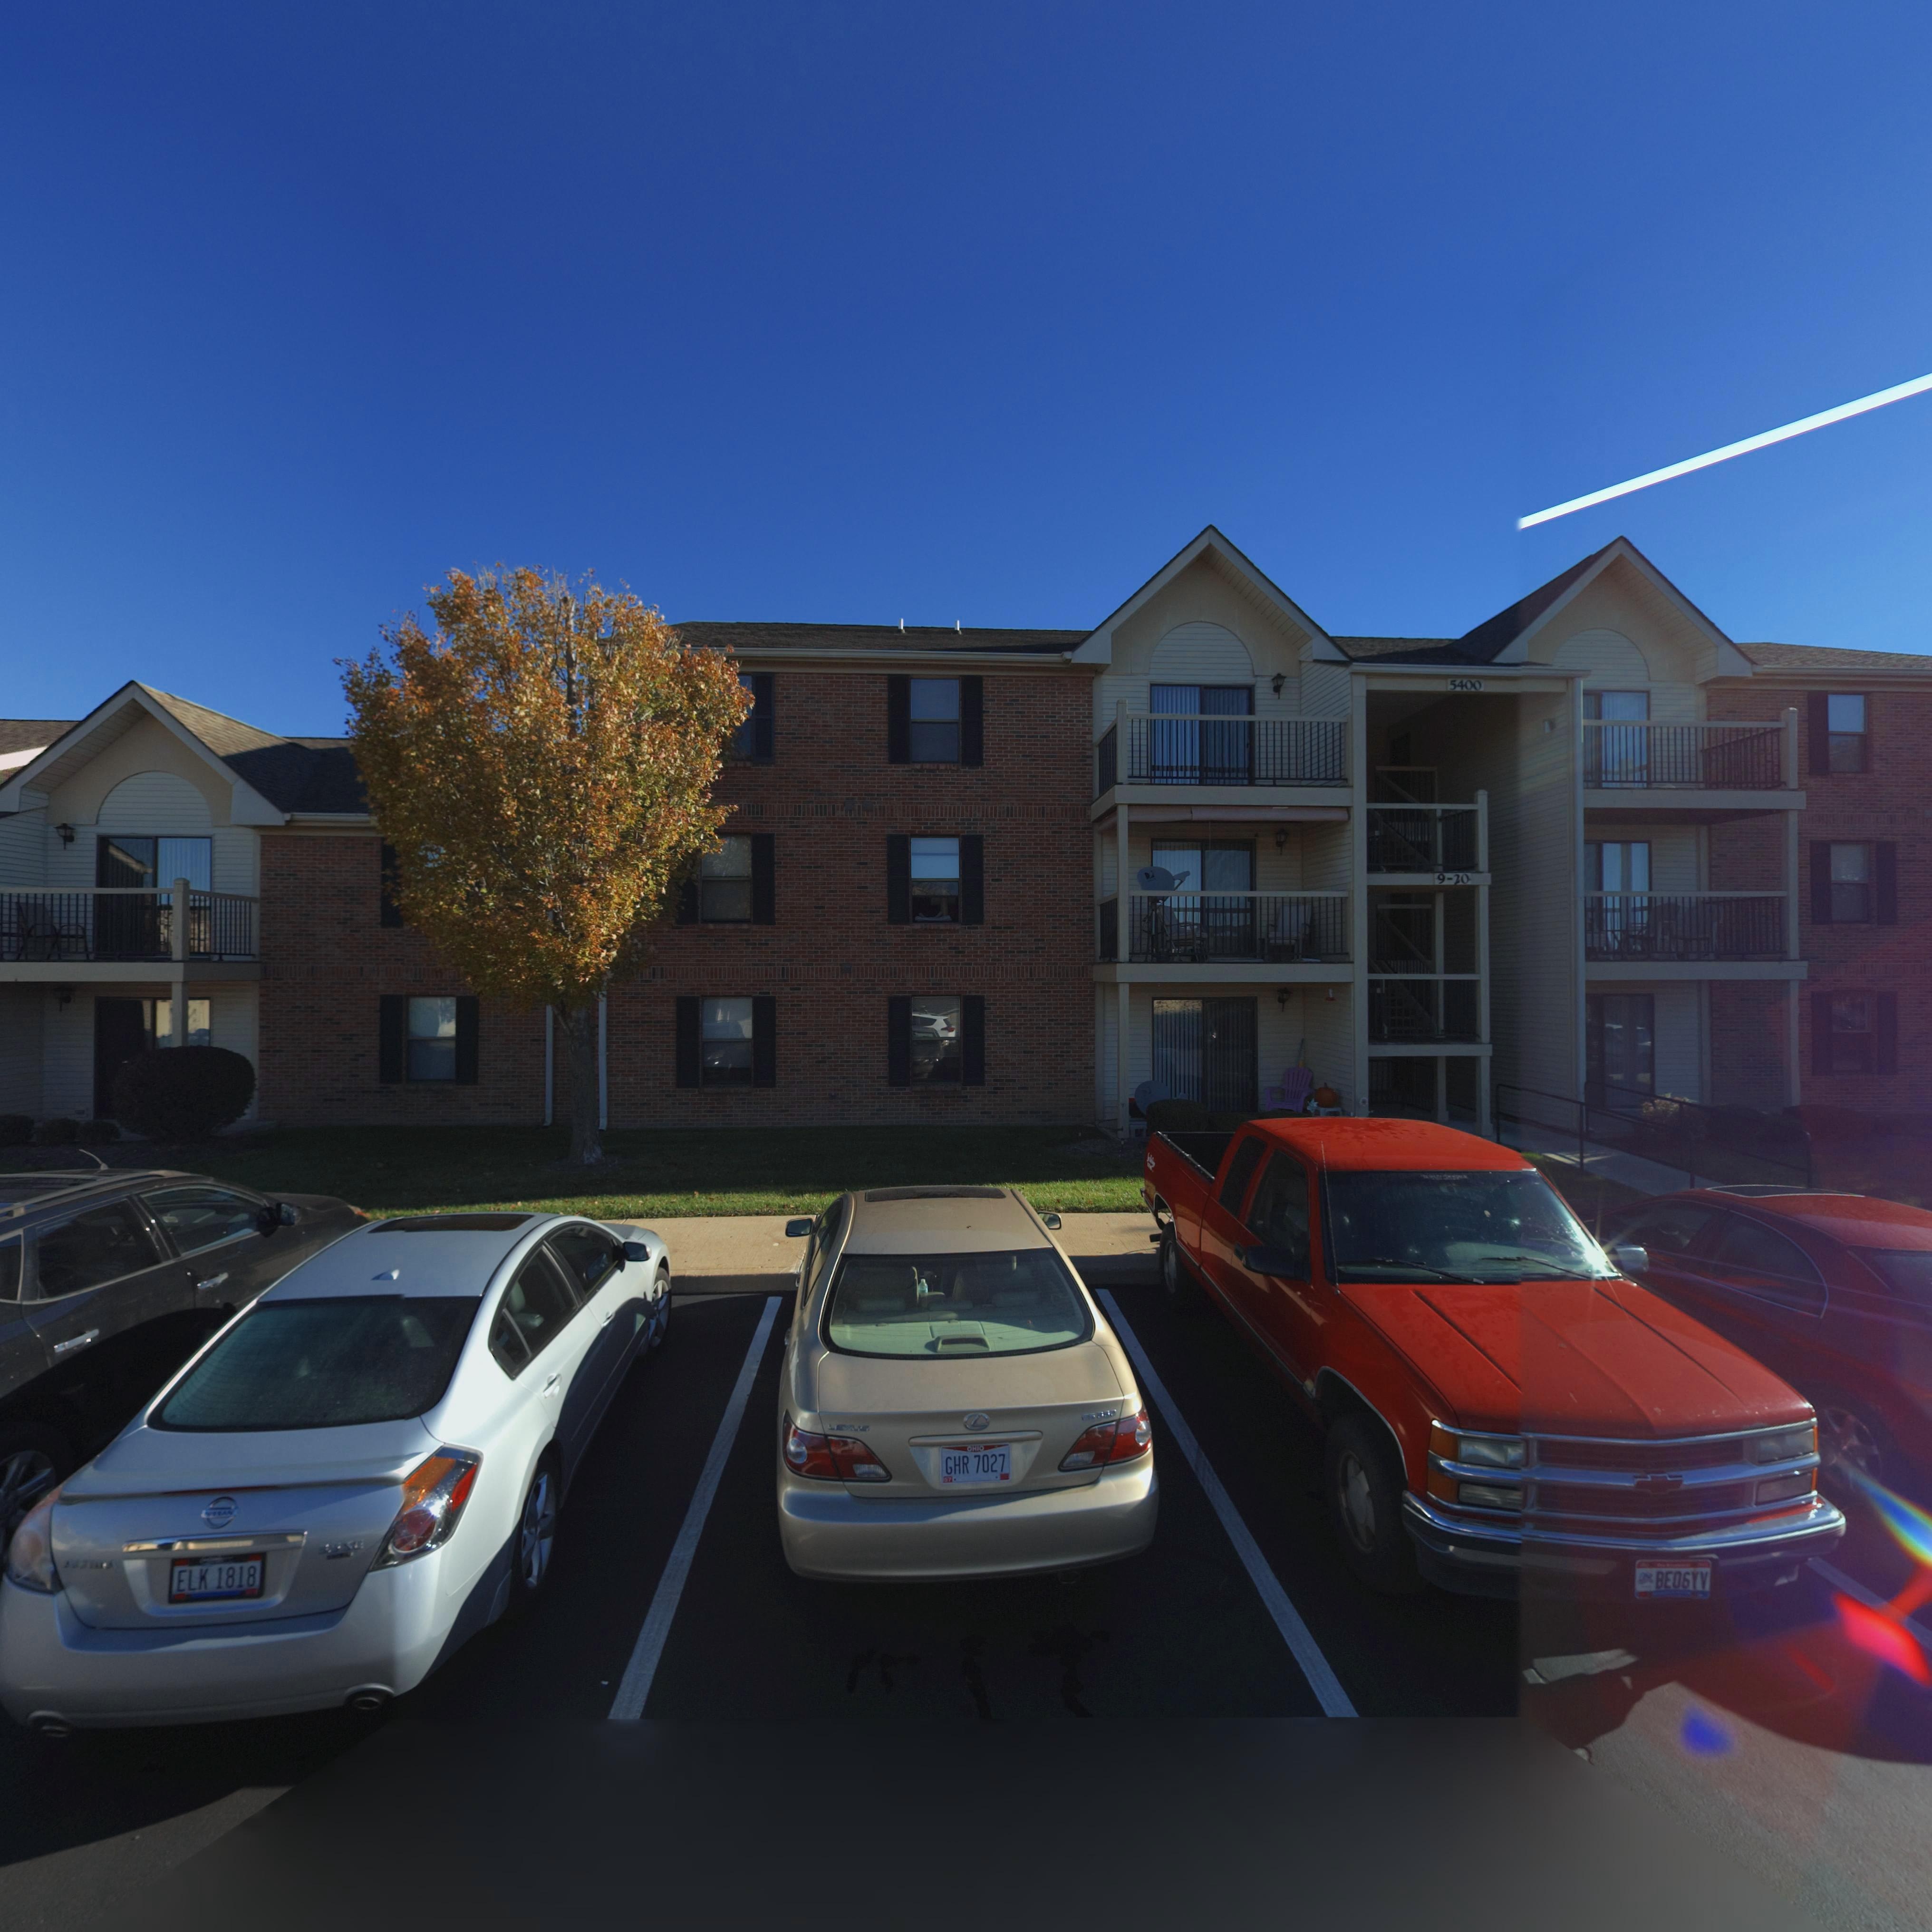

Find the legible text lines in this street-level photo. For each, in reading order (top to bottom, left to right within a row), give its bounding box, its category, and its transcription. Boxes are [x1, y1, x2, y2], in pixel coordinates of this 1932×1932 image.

[1449, 678, 1481, 691] StreetNumber: 5400
[1436, 872, 1470, 885] StreetNumber: 9-20